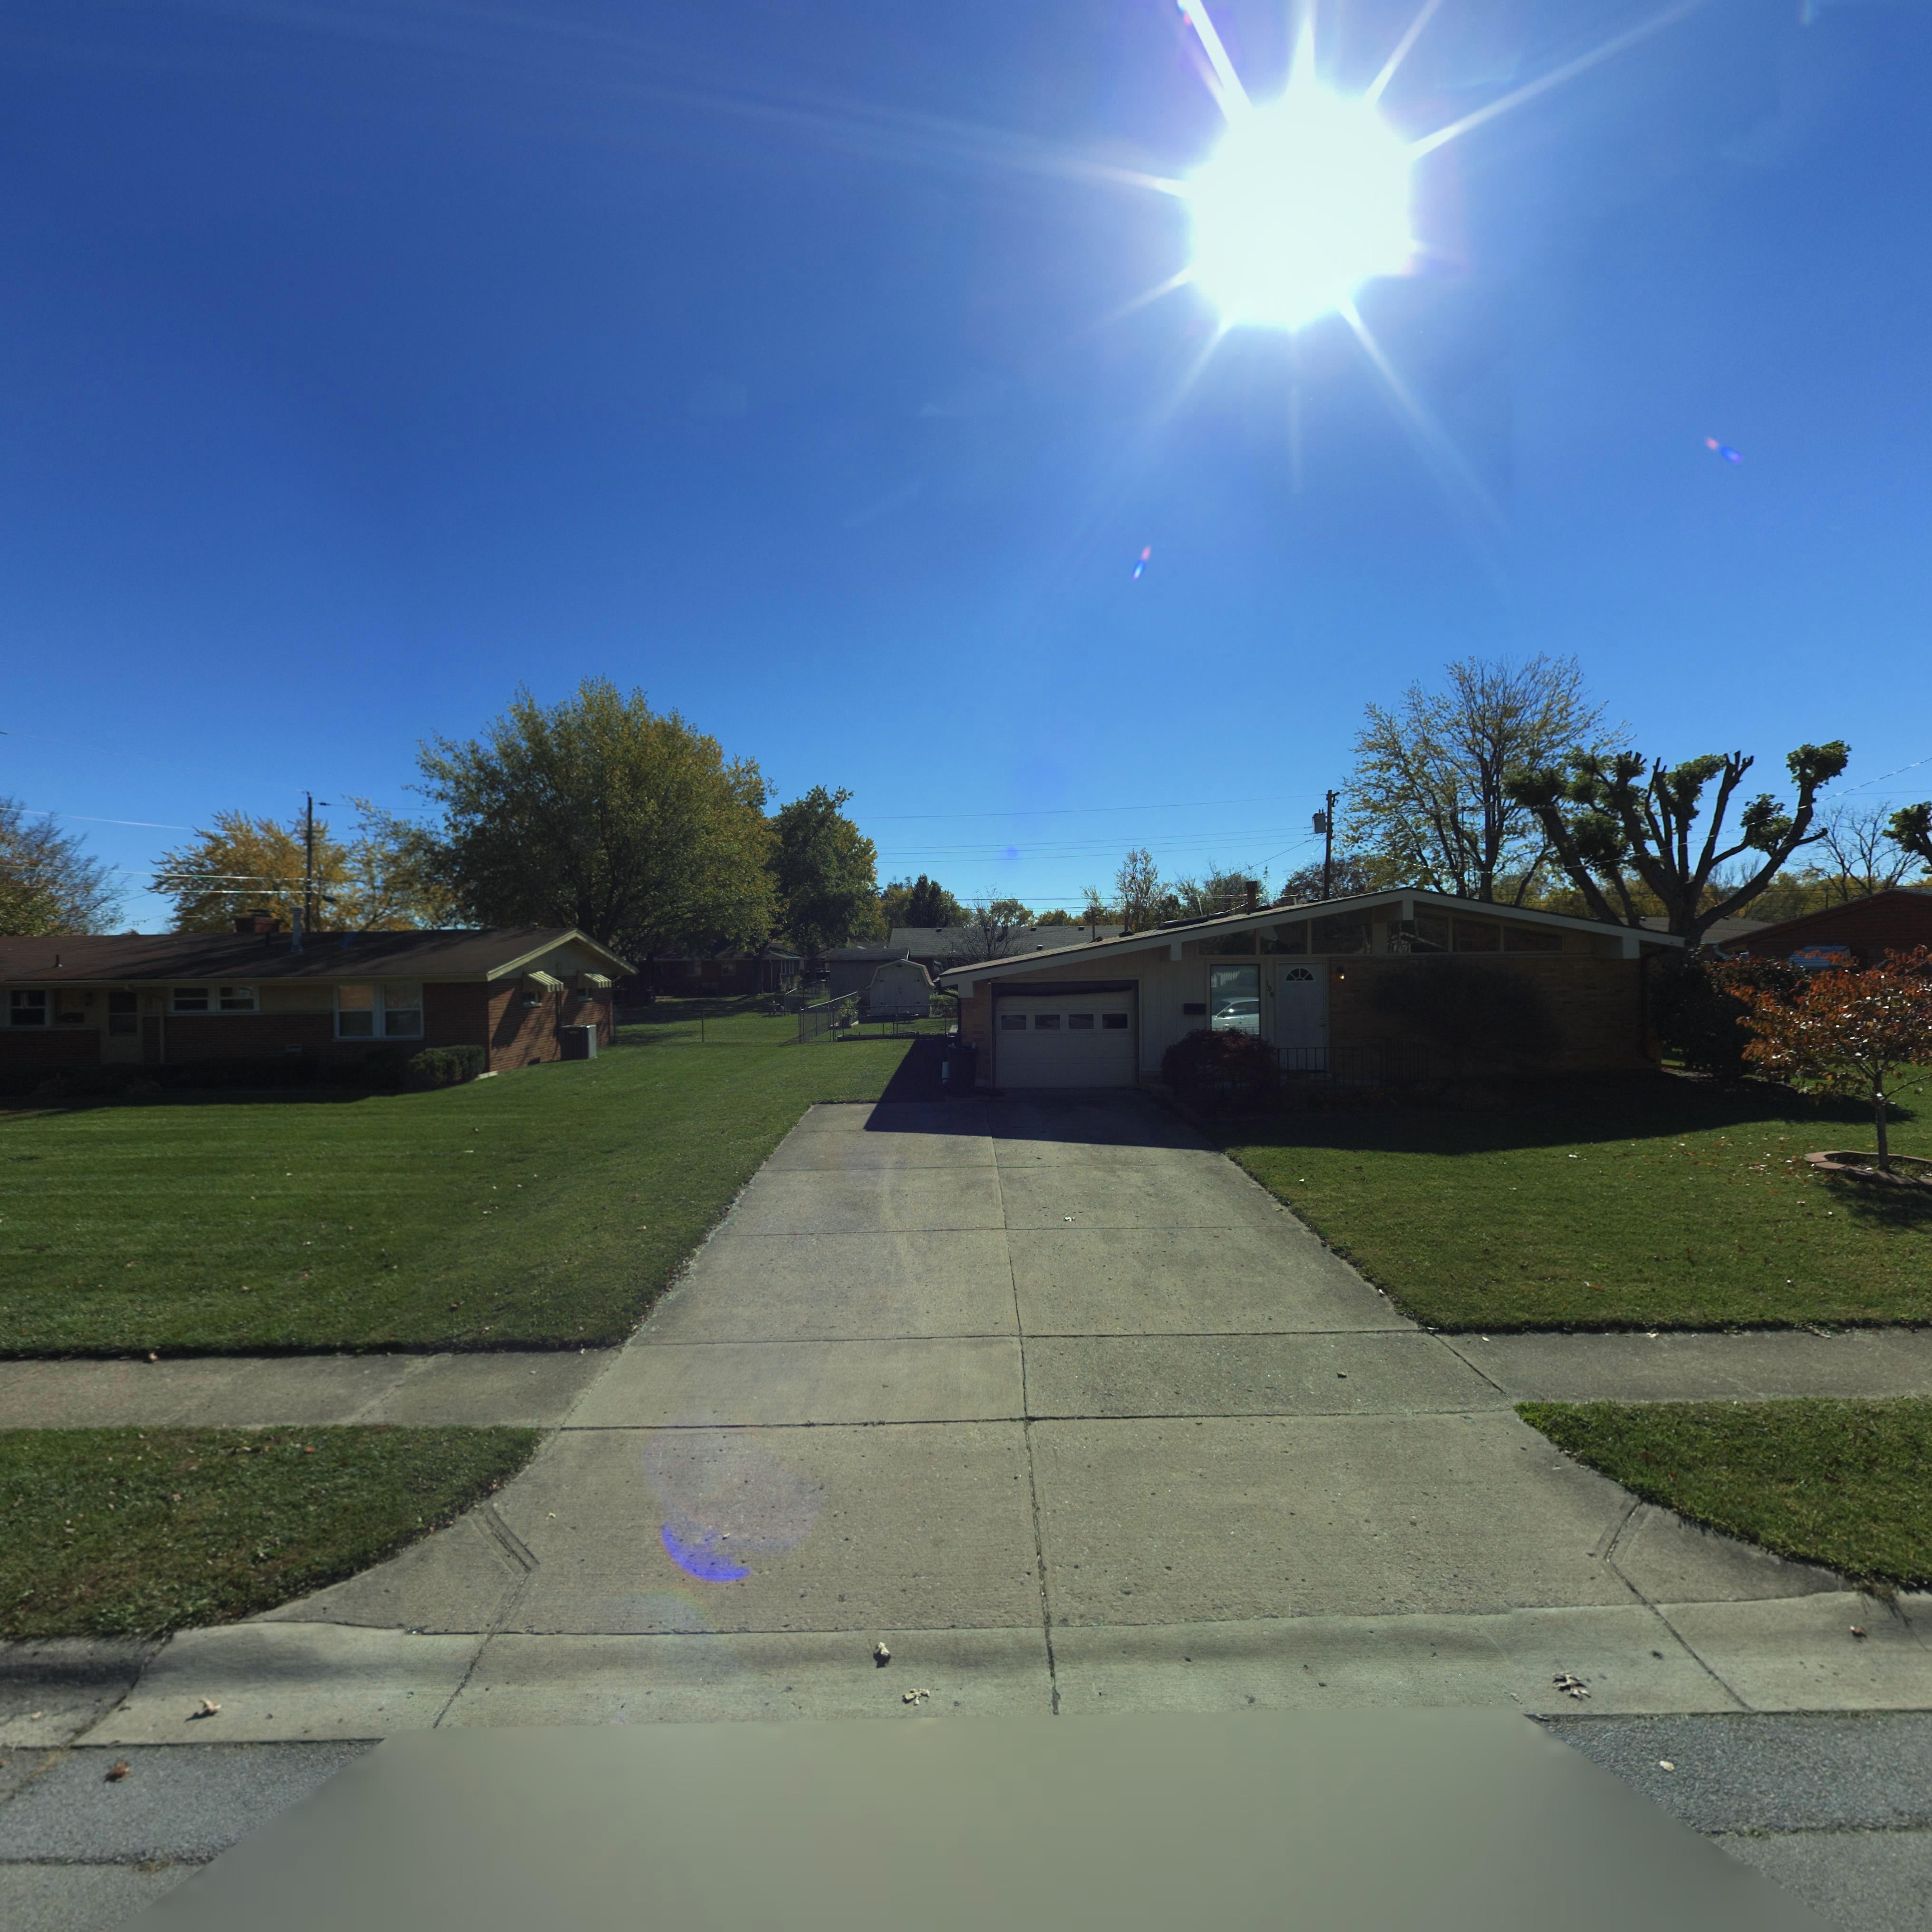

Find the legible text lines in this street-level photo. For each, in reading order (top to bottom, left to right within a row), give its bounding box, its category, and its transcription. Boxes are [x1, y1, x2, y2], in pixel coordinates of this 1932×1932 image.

[1265, 980, 1275, 999] StreetNumber: 108